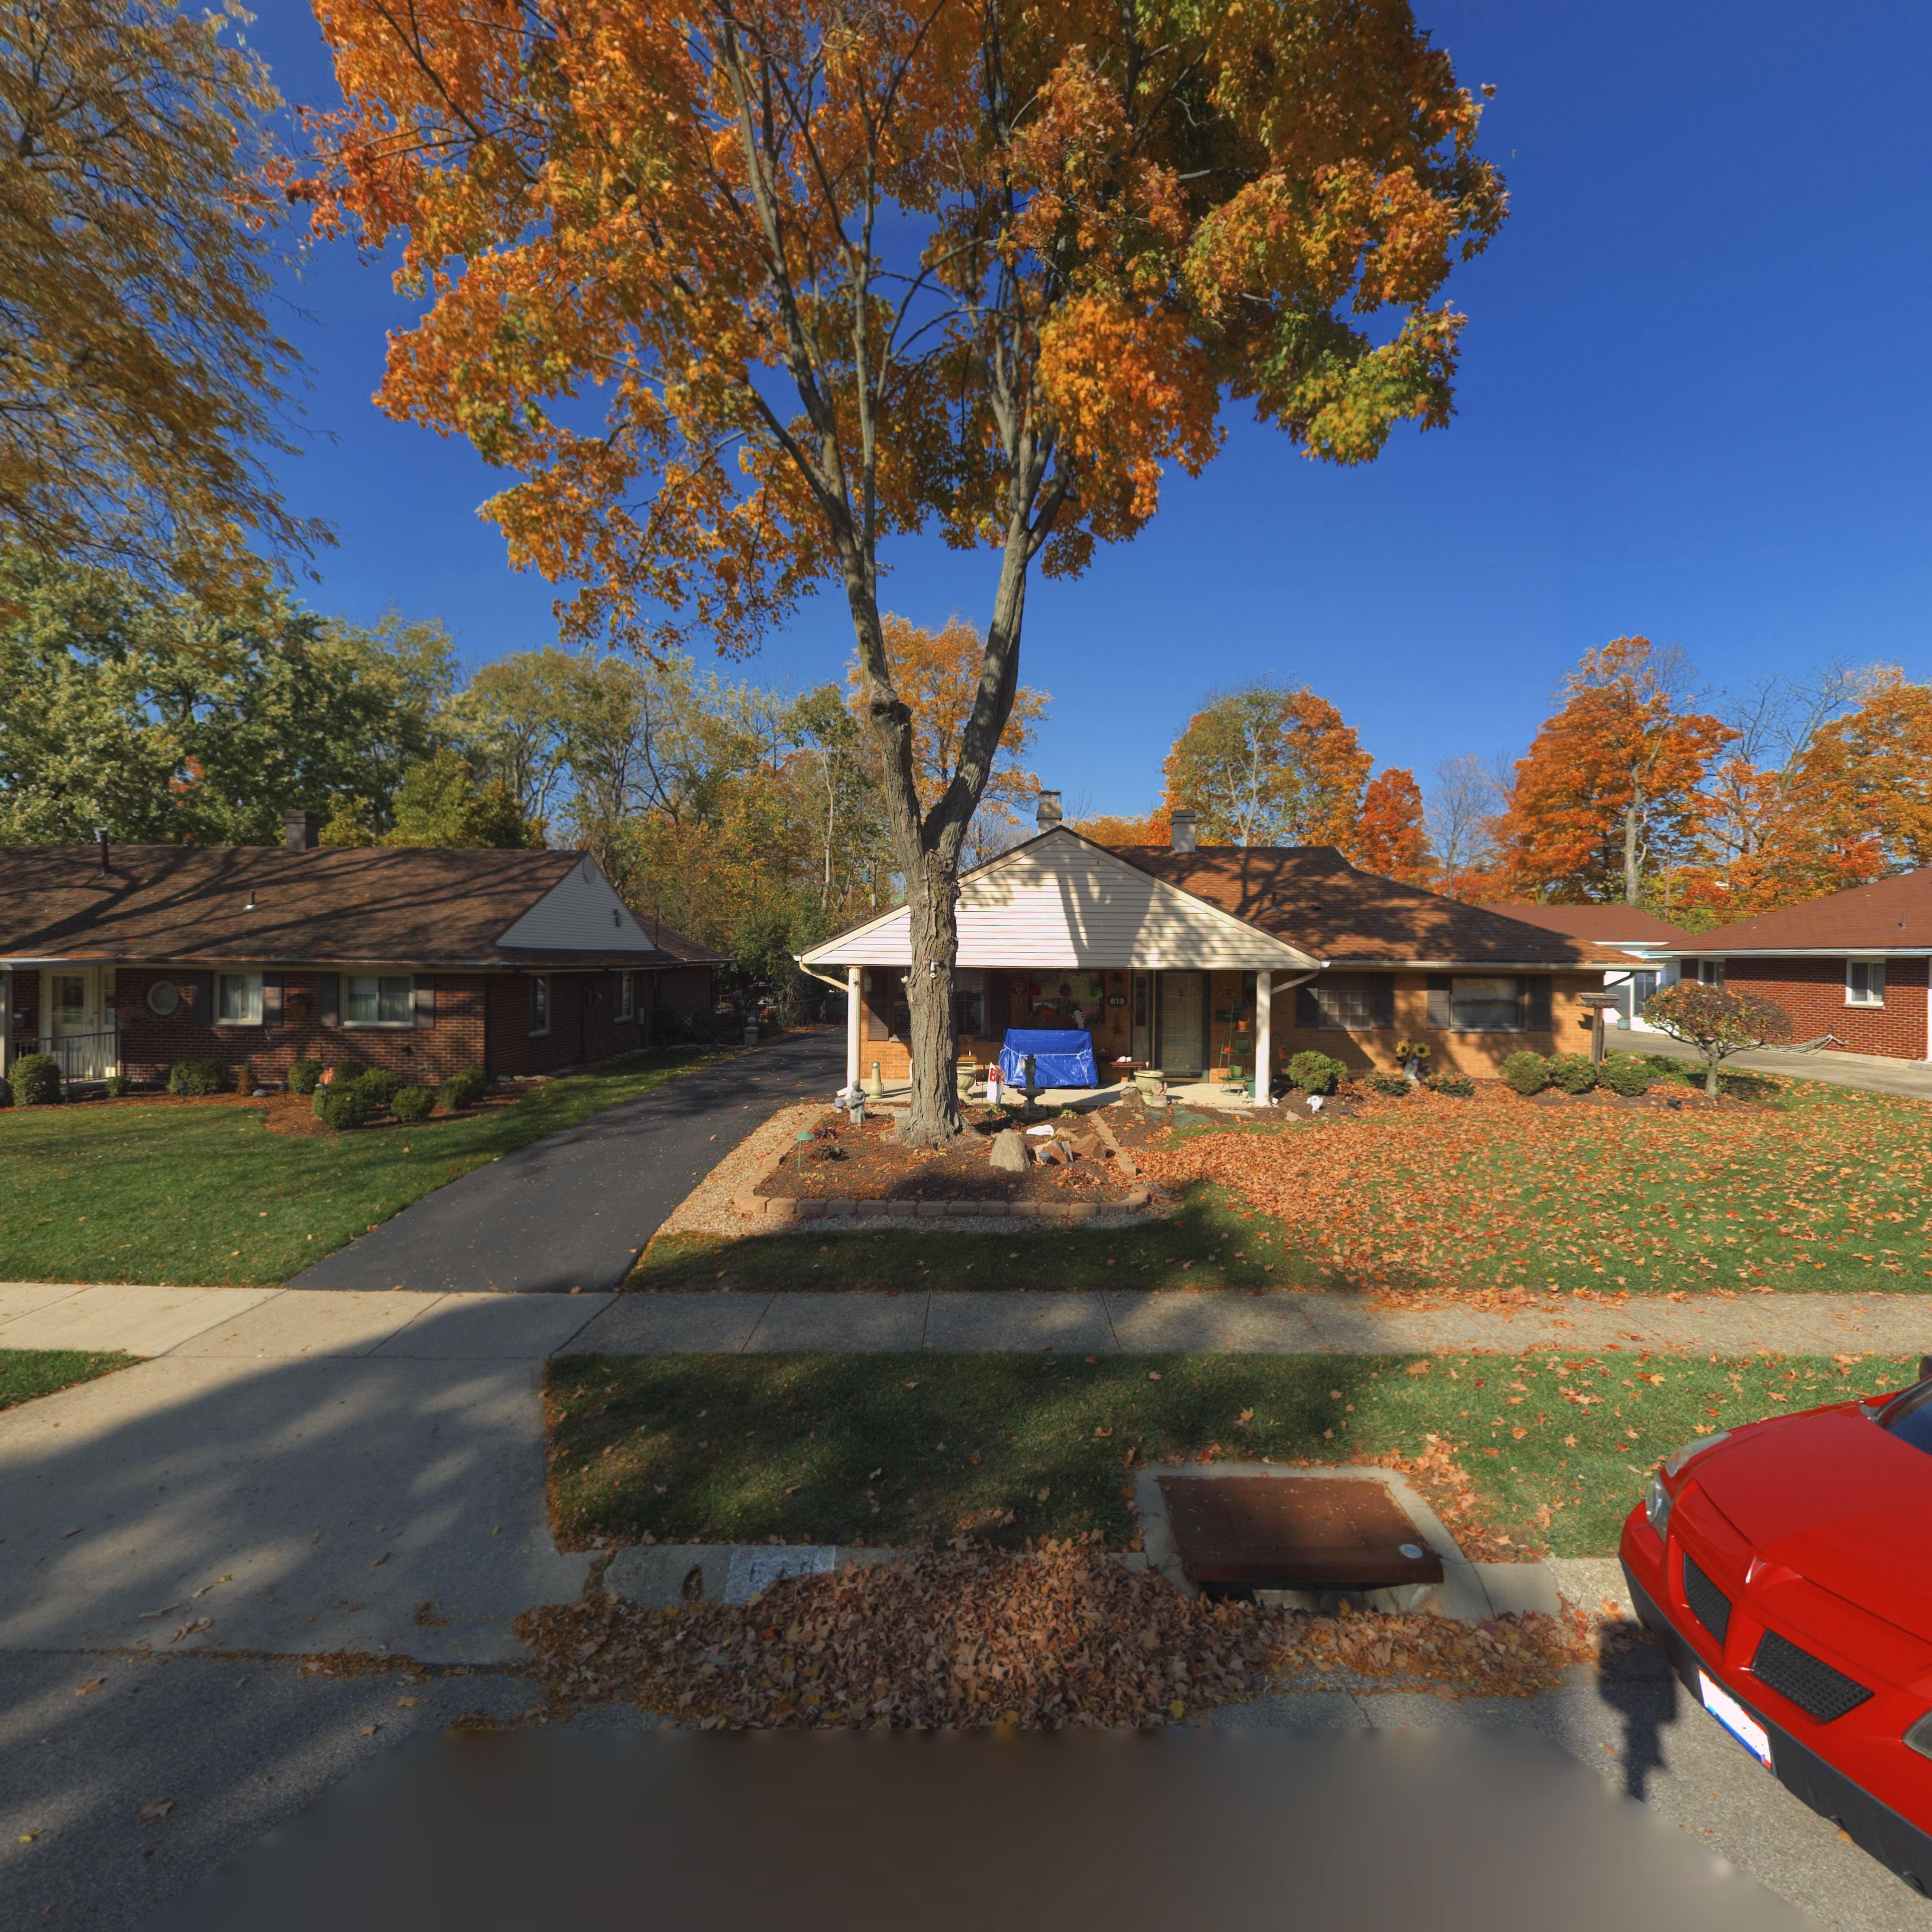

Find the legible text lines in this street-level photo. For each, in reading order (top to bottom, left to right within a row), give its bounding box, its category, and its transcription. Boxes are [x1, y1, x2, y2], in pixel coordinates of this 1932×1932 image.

[1110, 997, 1124, 1005] StreetNumber: 619
[989, 1067, 1001, 1085] None: BU
[747, 1558, 816, 1585] StreetNumber: 6**